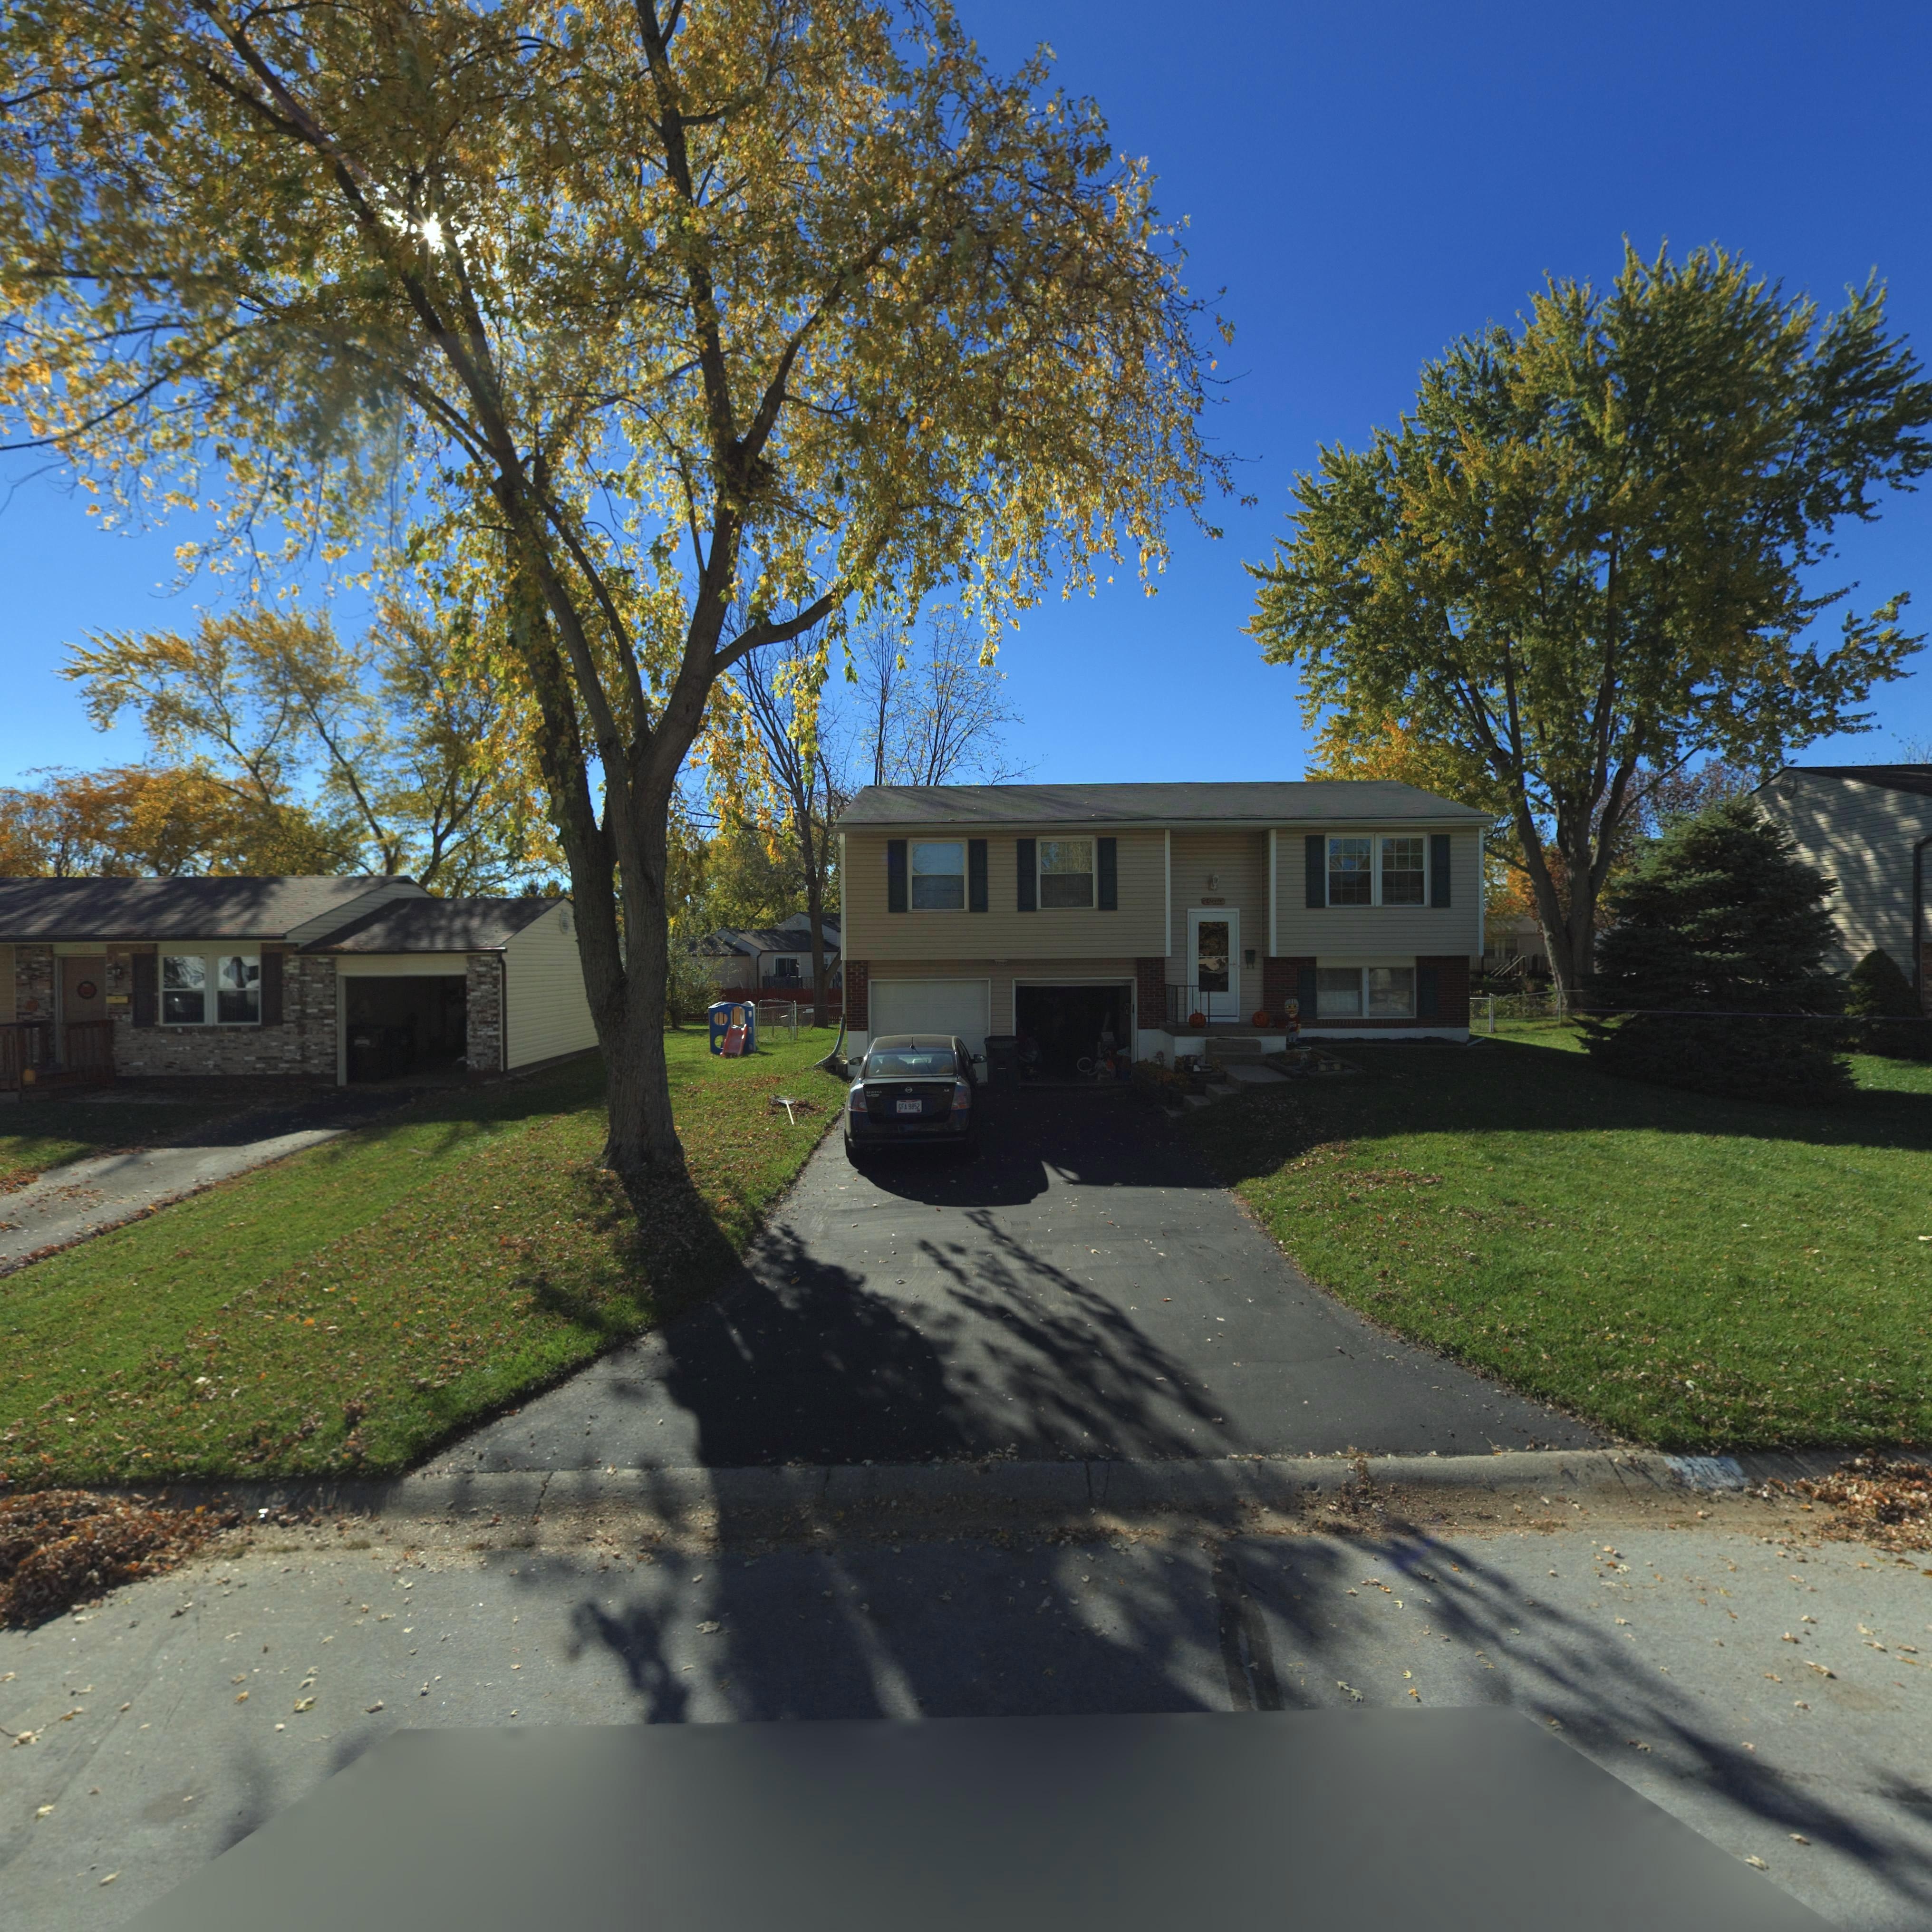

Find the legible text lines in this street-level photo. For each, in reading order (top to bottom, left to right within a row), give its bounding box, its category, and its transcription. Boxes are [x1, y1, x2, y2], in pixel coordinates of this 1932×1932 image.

[74, 944, 91, 953] StreetNumber: 703
[1323, 1063, 1335, 1072] StreetNumber: 705
[897, 1102, 919, 1111] None: GFA 9852
[1683, 1463, 1732, 1478] StreetNumber: 705